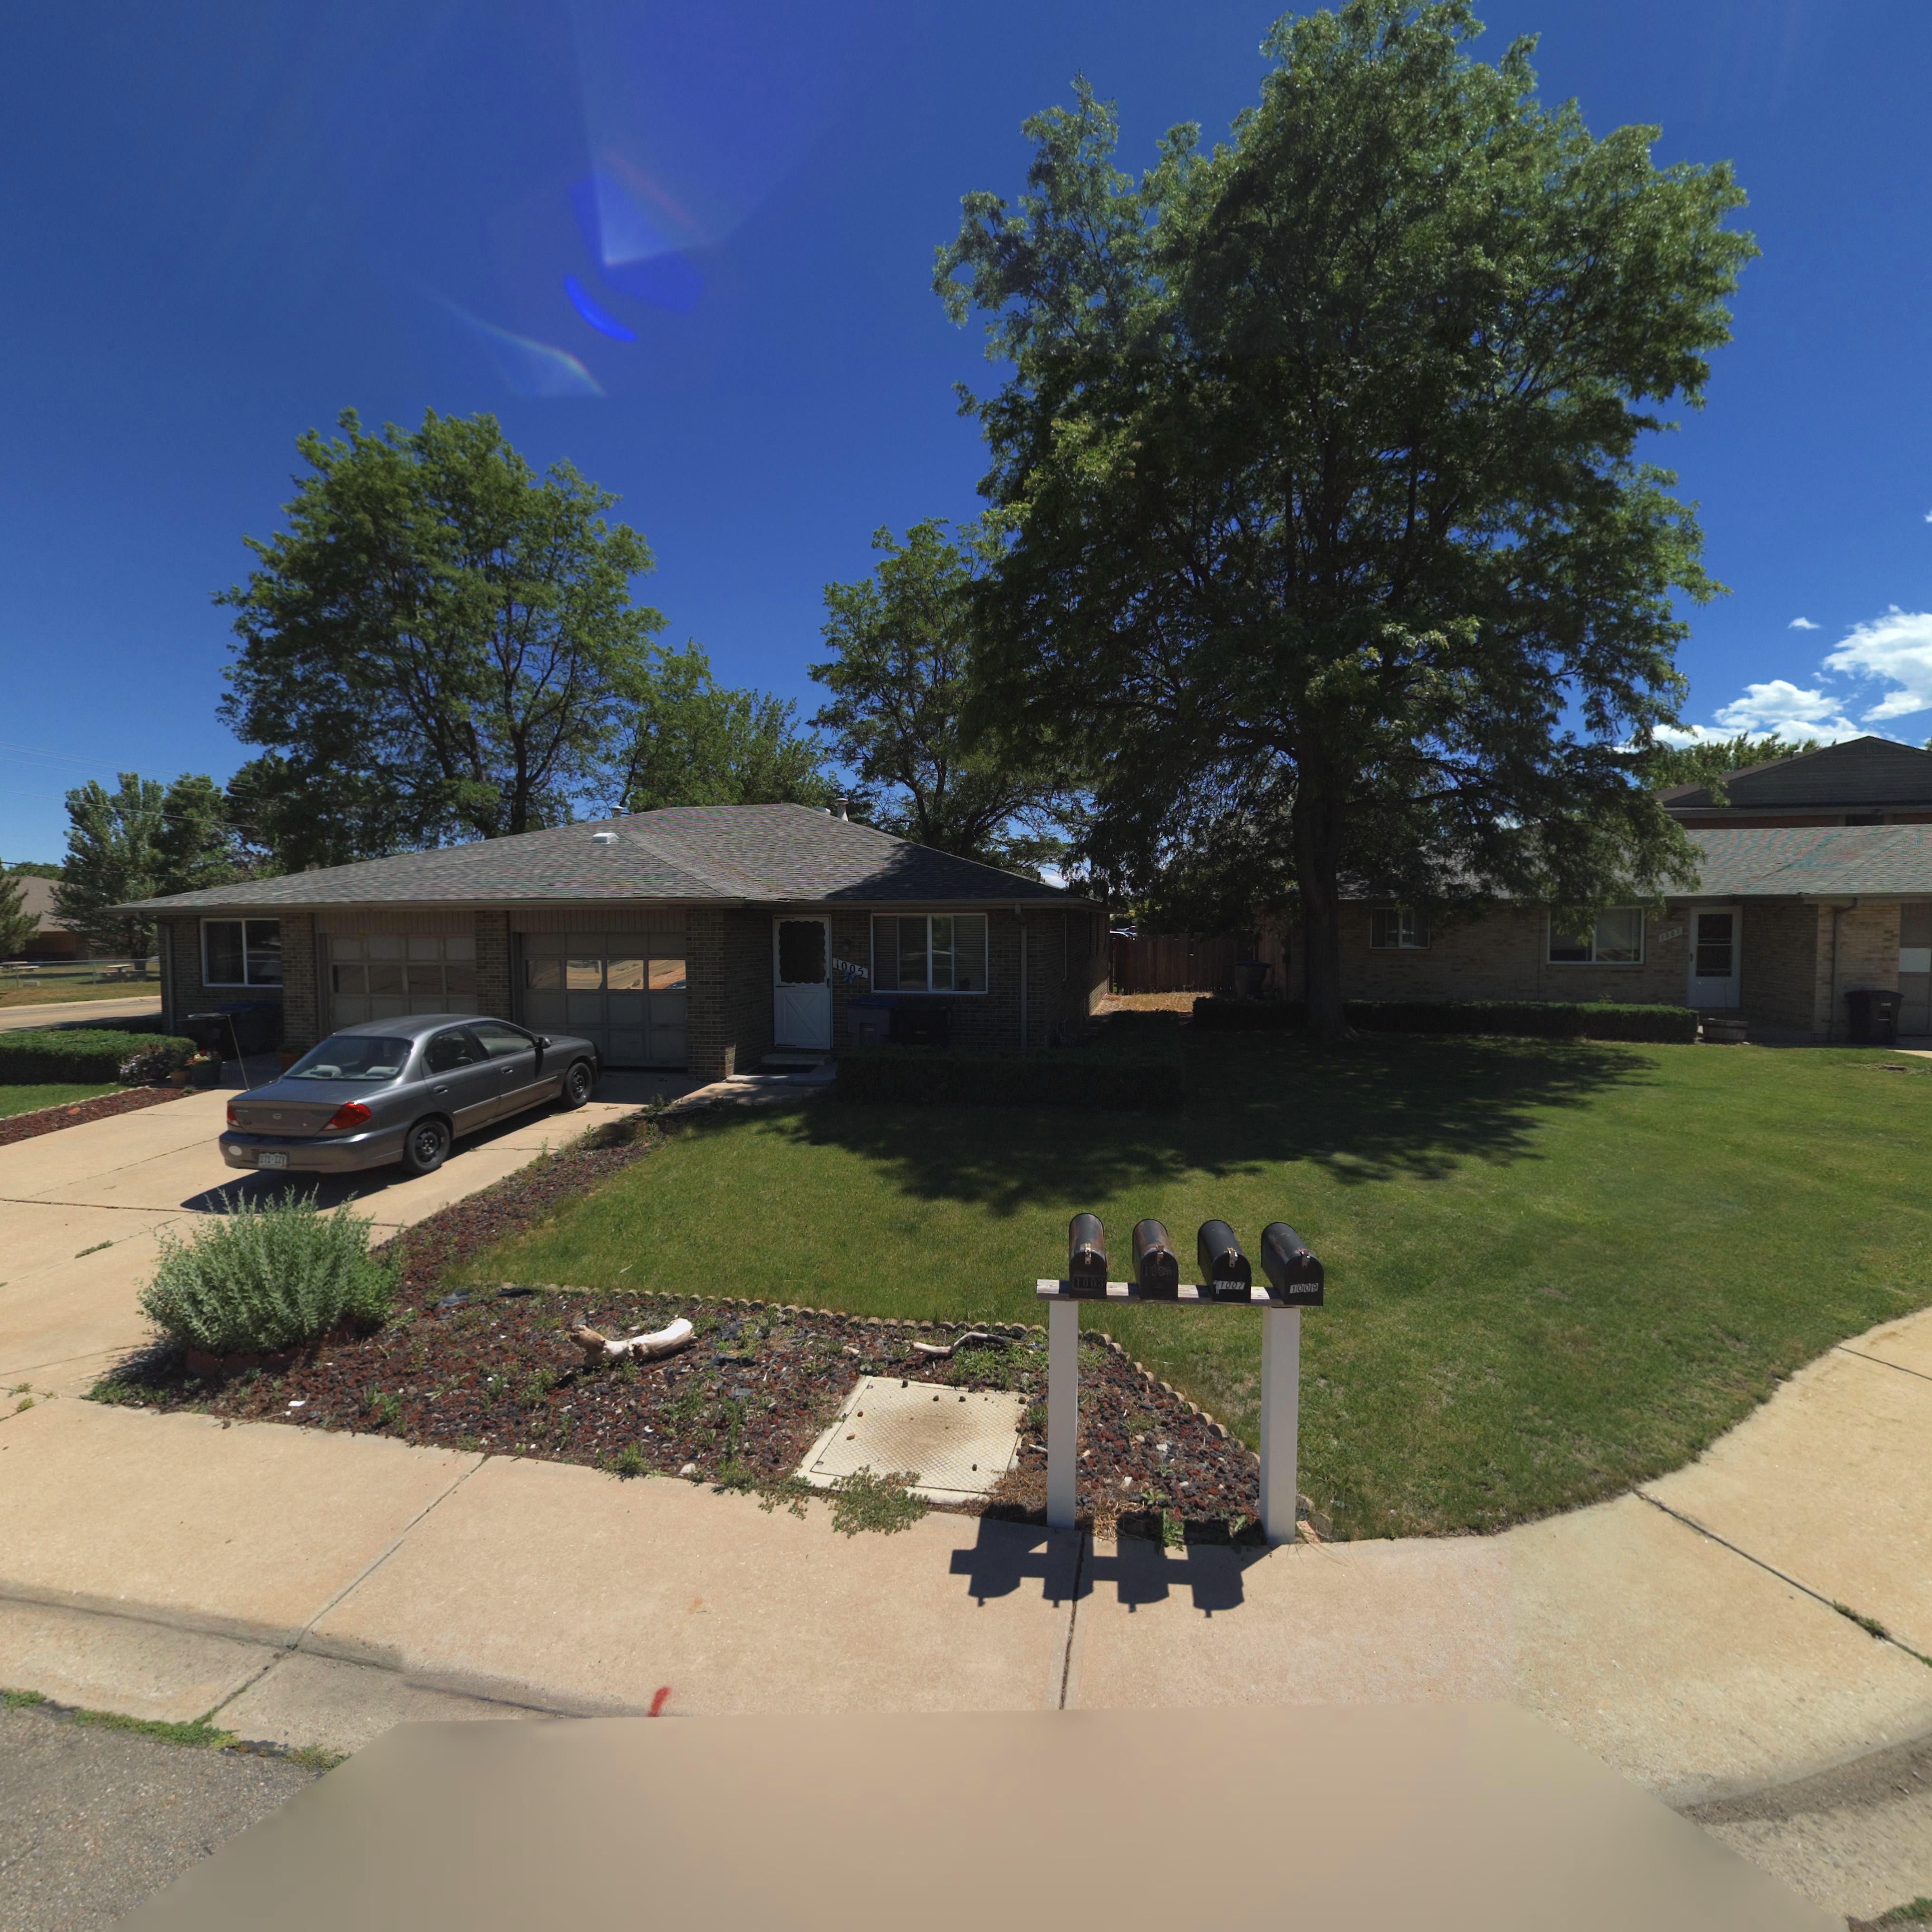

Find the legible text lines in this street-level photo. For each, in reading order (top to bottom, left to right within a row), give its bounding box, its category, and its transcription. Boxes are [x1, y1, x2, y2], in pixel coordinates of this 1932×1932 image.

[1661, 927, 1681, 941] StreetNumber: 1007
[836, 959, 864, 977] StreetNumber: 1005
[1143, 1264, 1172, 1277] StreetNumber: 100*
[1075, 1277, 1104, 1288] StreetNumber: 1003
[1220, 1281, 1244, 1289] BusinessName: 1007
[1292, 1283, 1317, 1293] StreetNumber: 1009